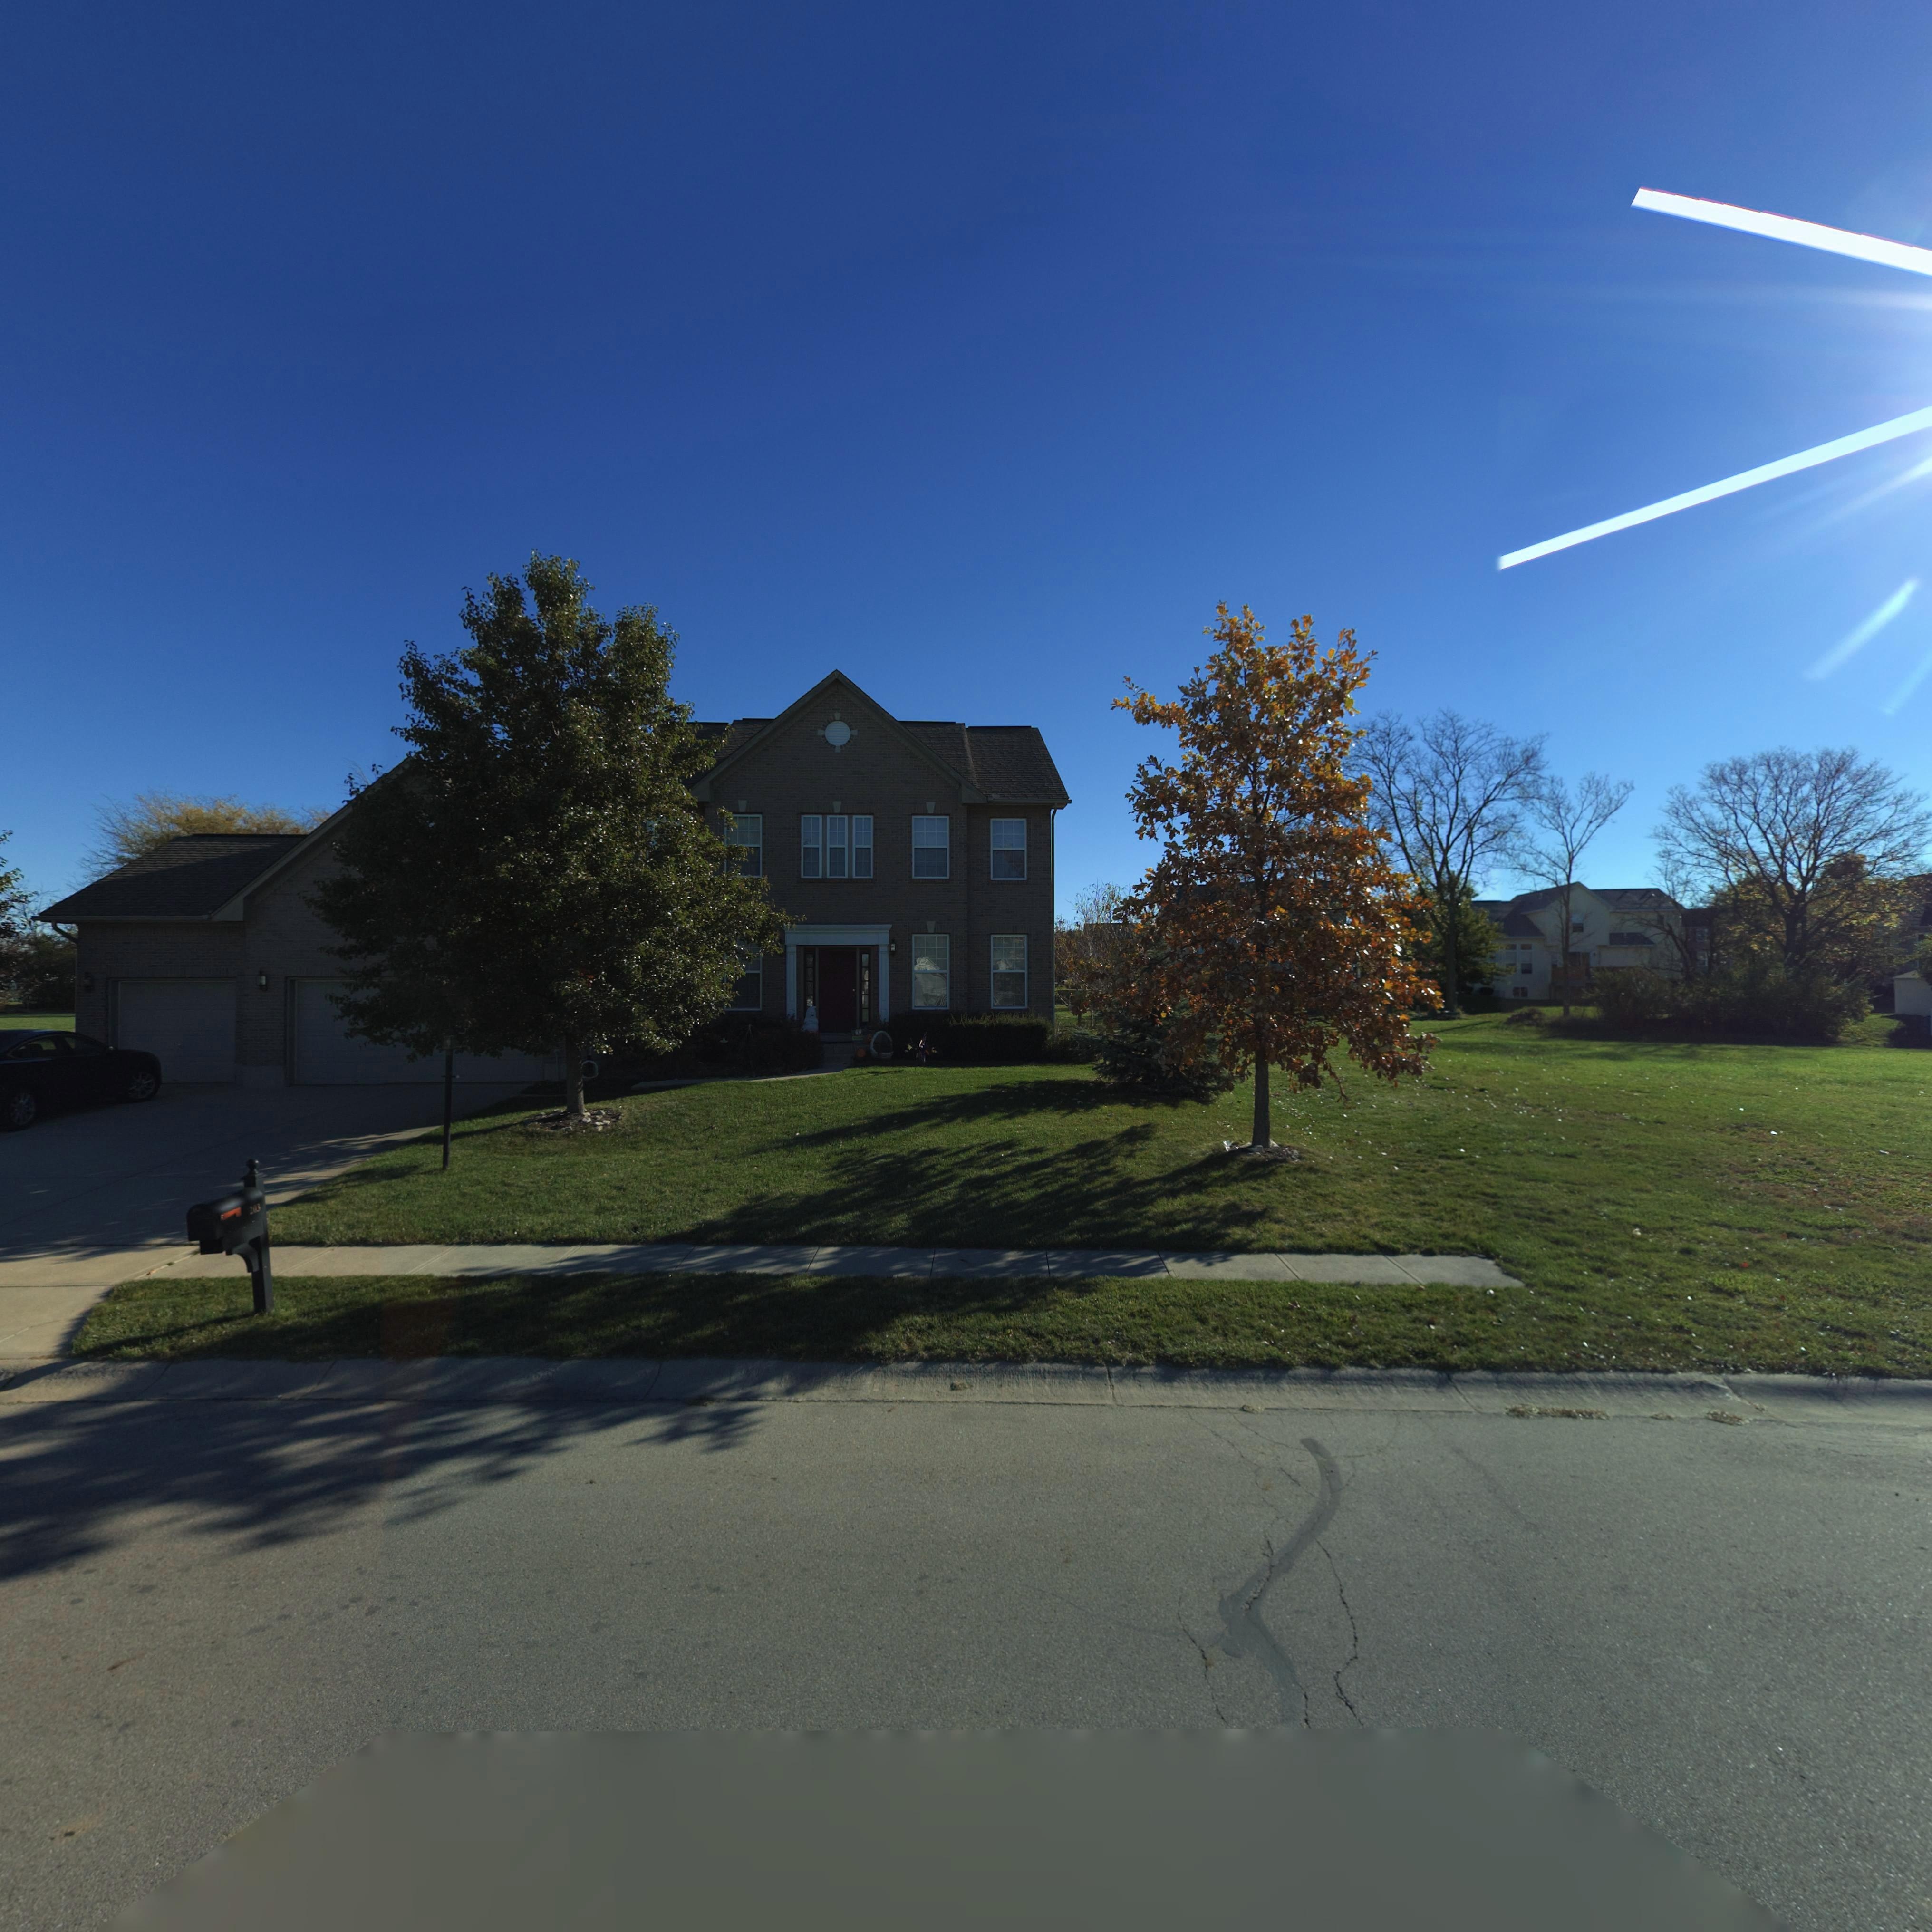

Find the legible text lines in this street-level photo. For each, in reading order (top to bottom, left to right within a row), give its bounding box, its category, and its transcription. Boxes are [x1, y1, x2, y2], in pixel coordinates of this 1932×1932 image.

[249, 1202, 262, 1216] StreetNumber: 203